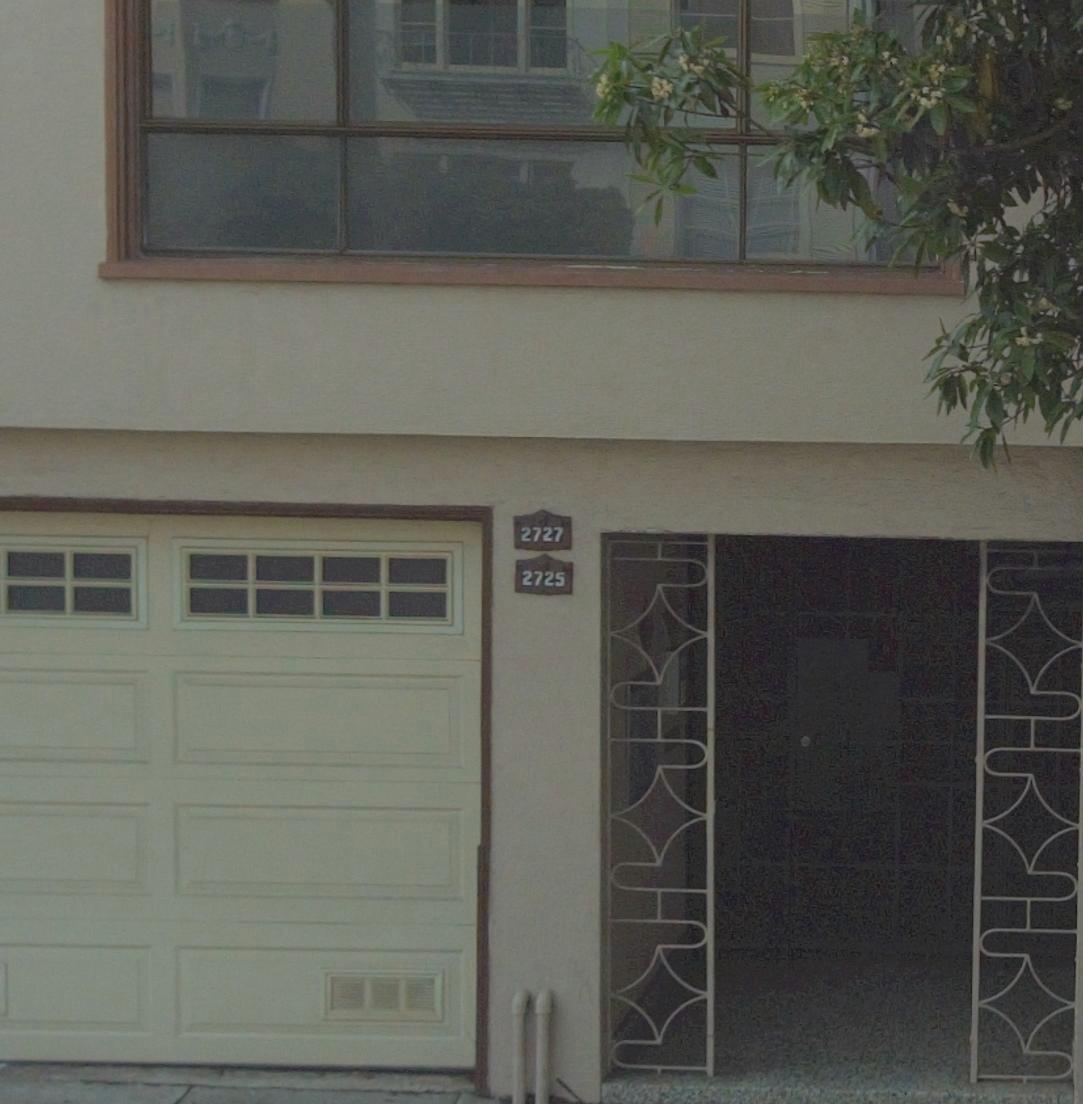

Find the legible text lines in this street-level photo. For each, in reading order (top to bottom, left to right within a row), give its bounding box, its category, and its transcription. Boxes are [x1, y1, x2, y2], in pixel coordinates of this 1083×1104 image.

[518, 524, 568, 545] StreetNumber: 2727
[519, 567, 568, 590] StreetNumber: 2725